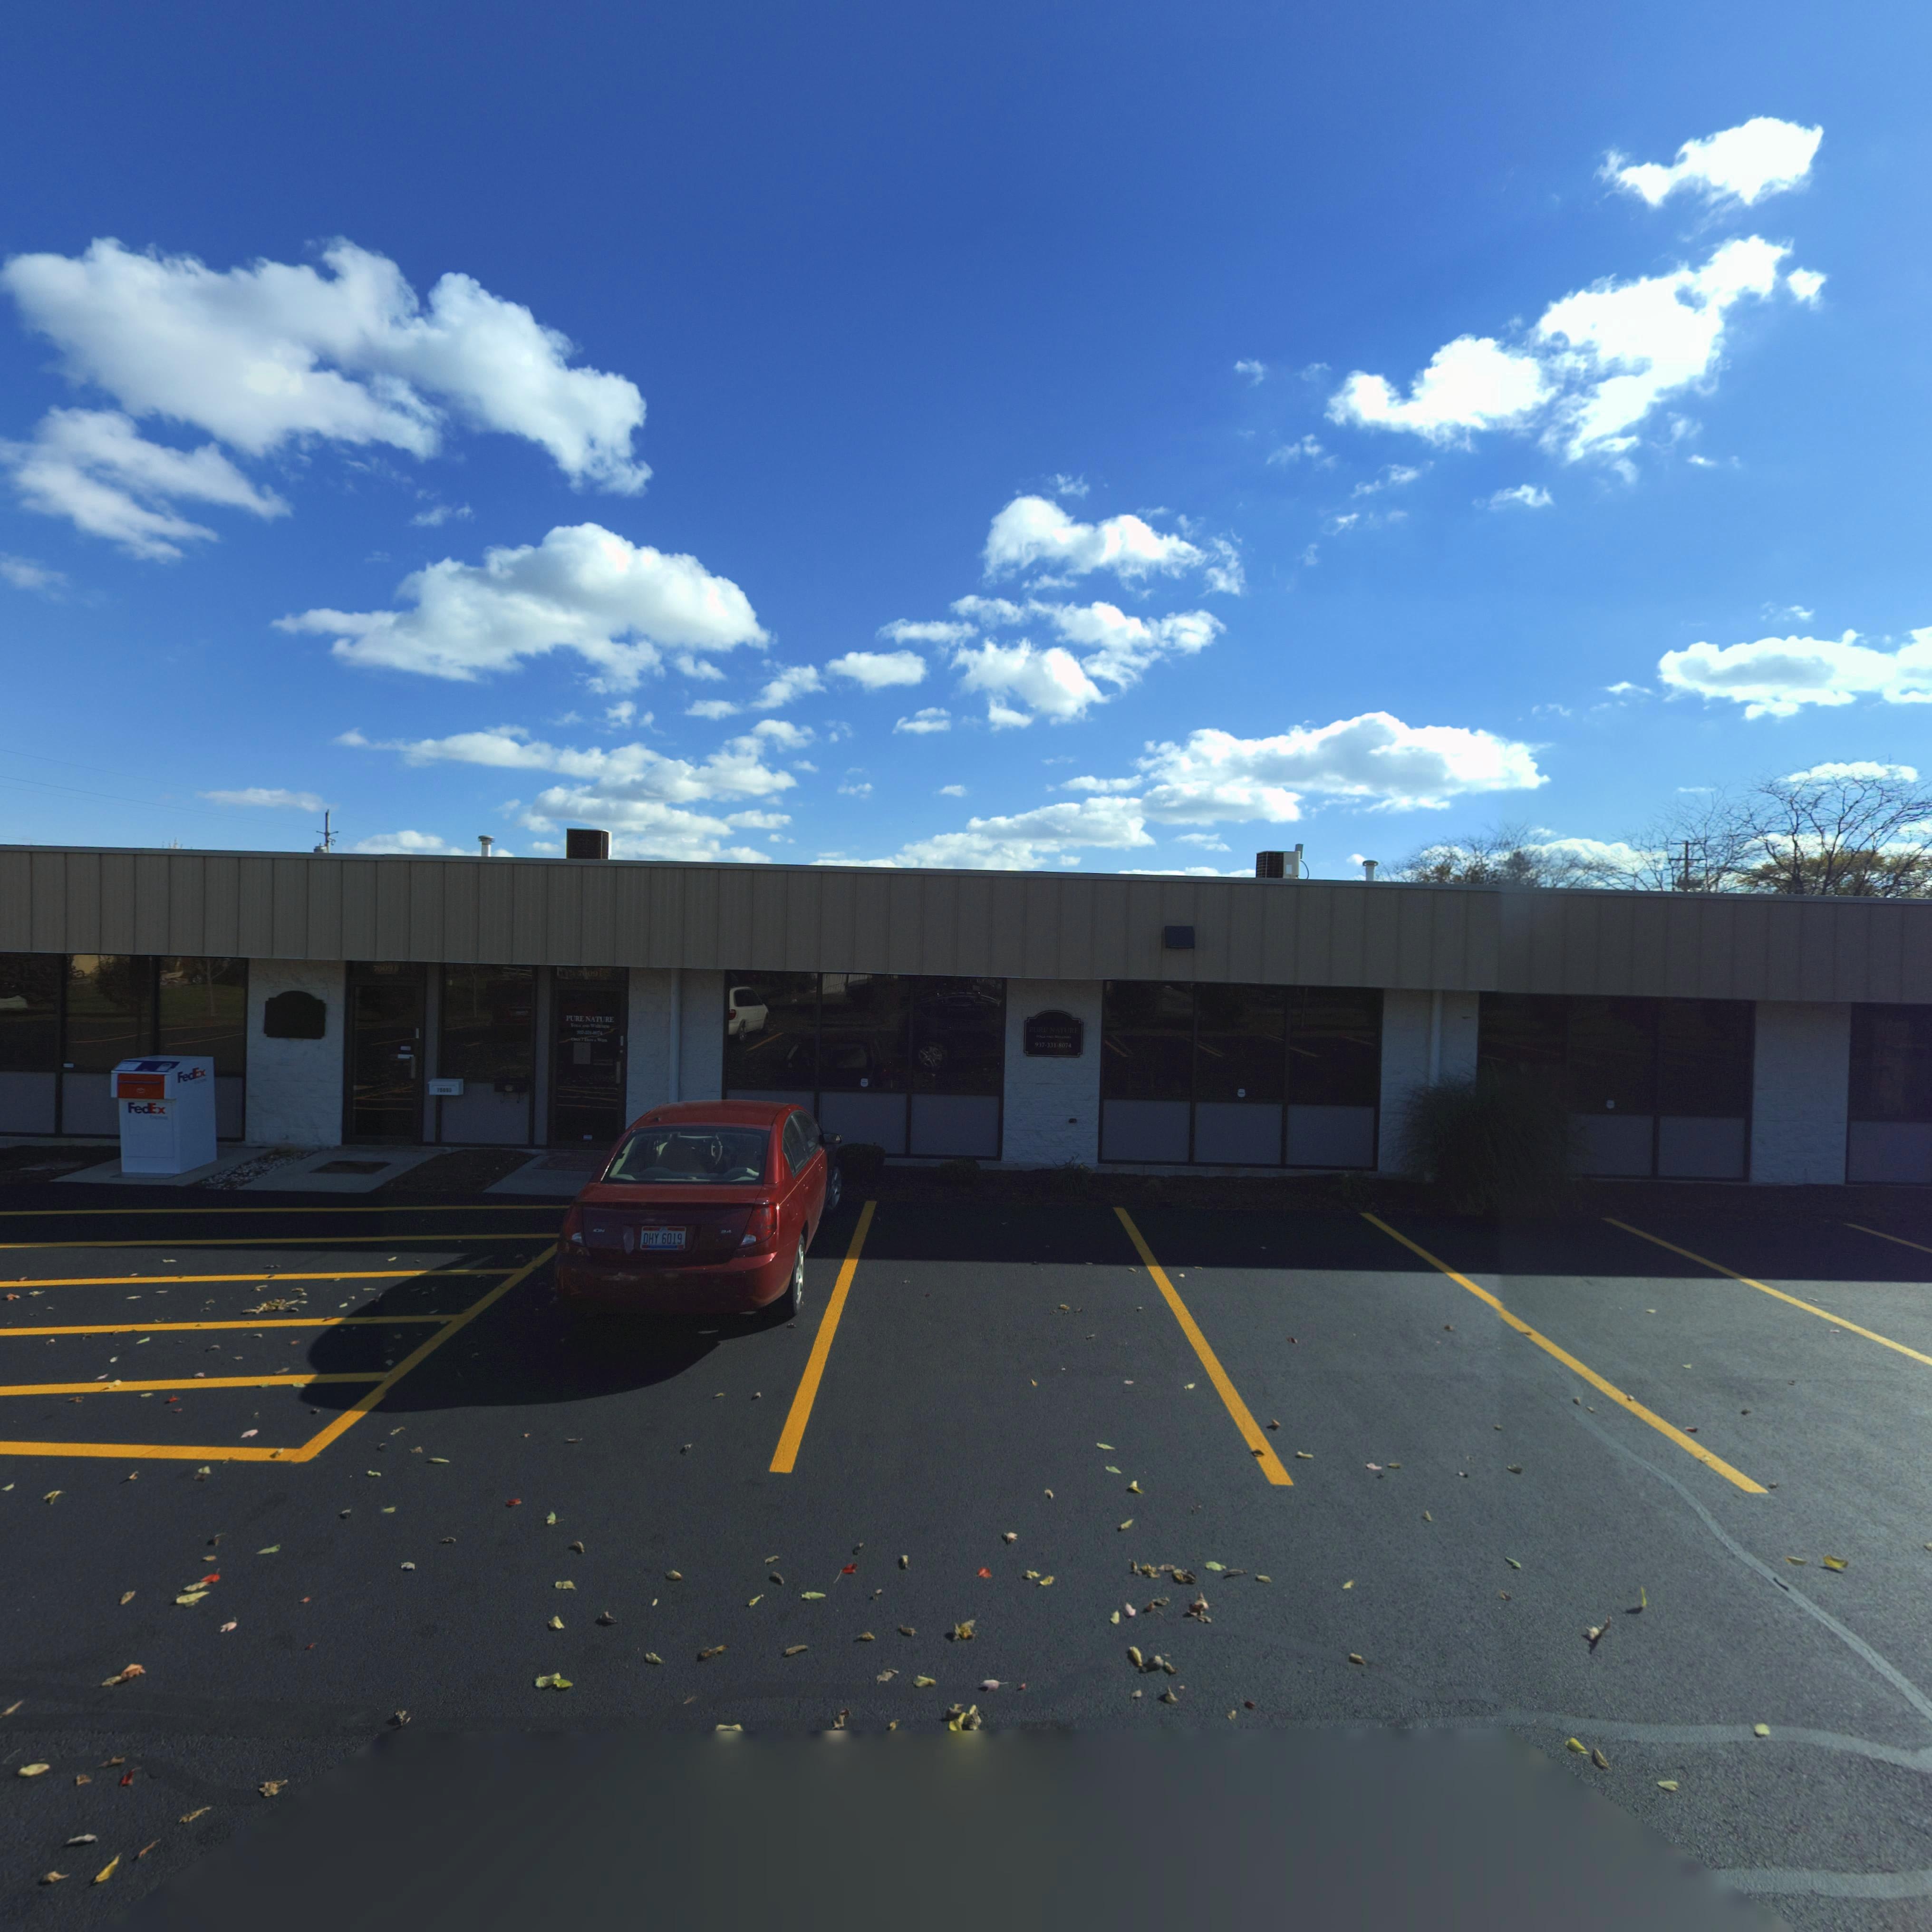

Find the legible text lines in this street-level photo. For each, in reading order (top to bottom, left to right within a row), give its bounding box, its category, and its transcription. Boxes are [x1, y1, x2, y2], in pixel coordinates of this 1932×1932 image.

[372, 963, 400, 973] StreetNumber: 7009 *
[576, 968, 606, 978] StreetNumber: 7009 *